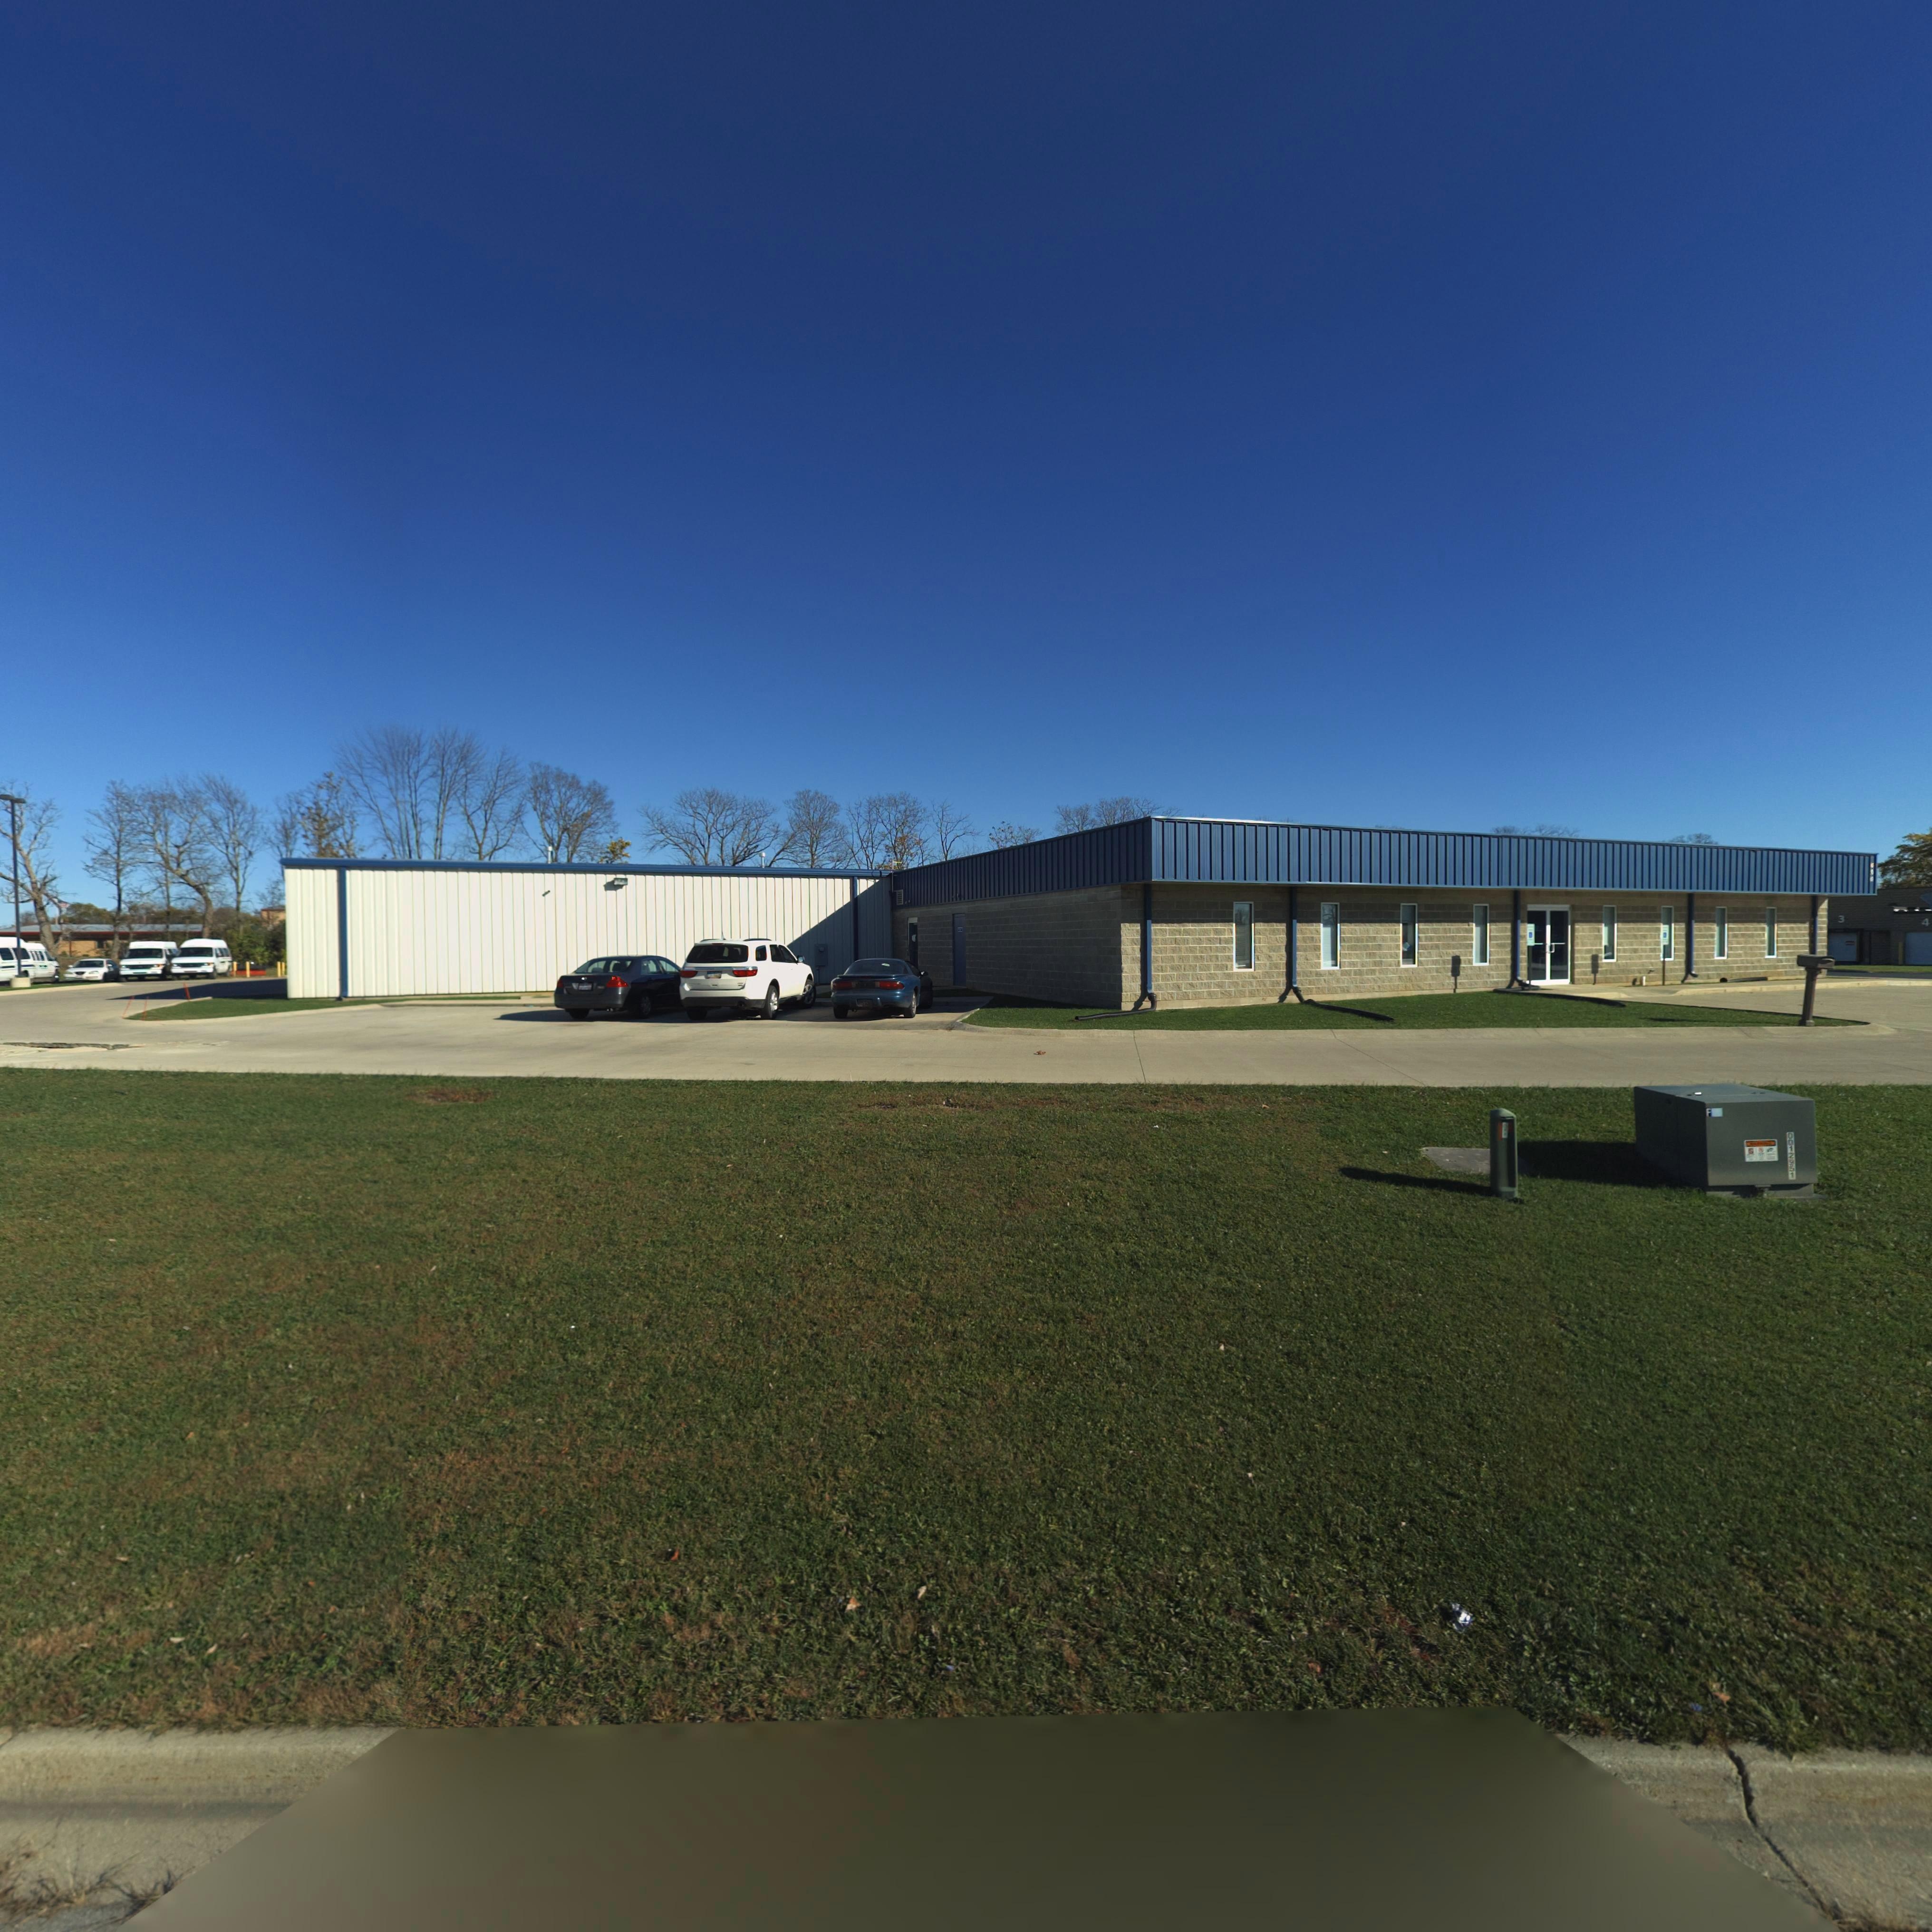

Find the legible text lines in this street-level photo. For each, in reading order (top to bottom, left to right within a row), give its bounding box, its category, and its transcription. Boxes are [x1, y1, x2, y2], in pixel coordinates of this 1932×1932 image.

[1869, 861, 1875, 882] StreetNumber: *50